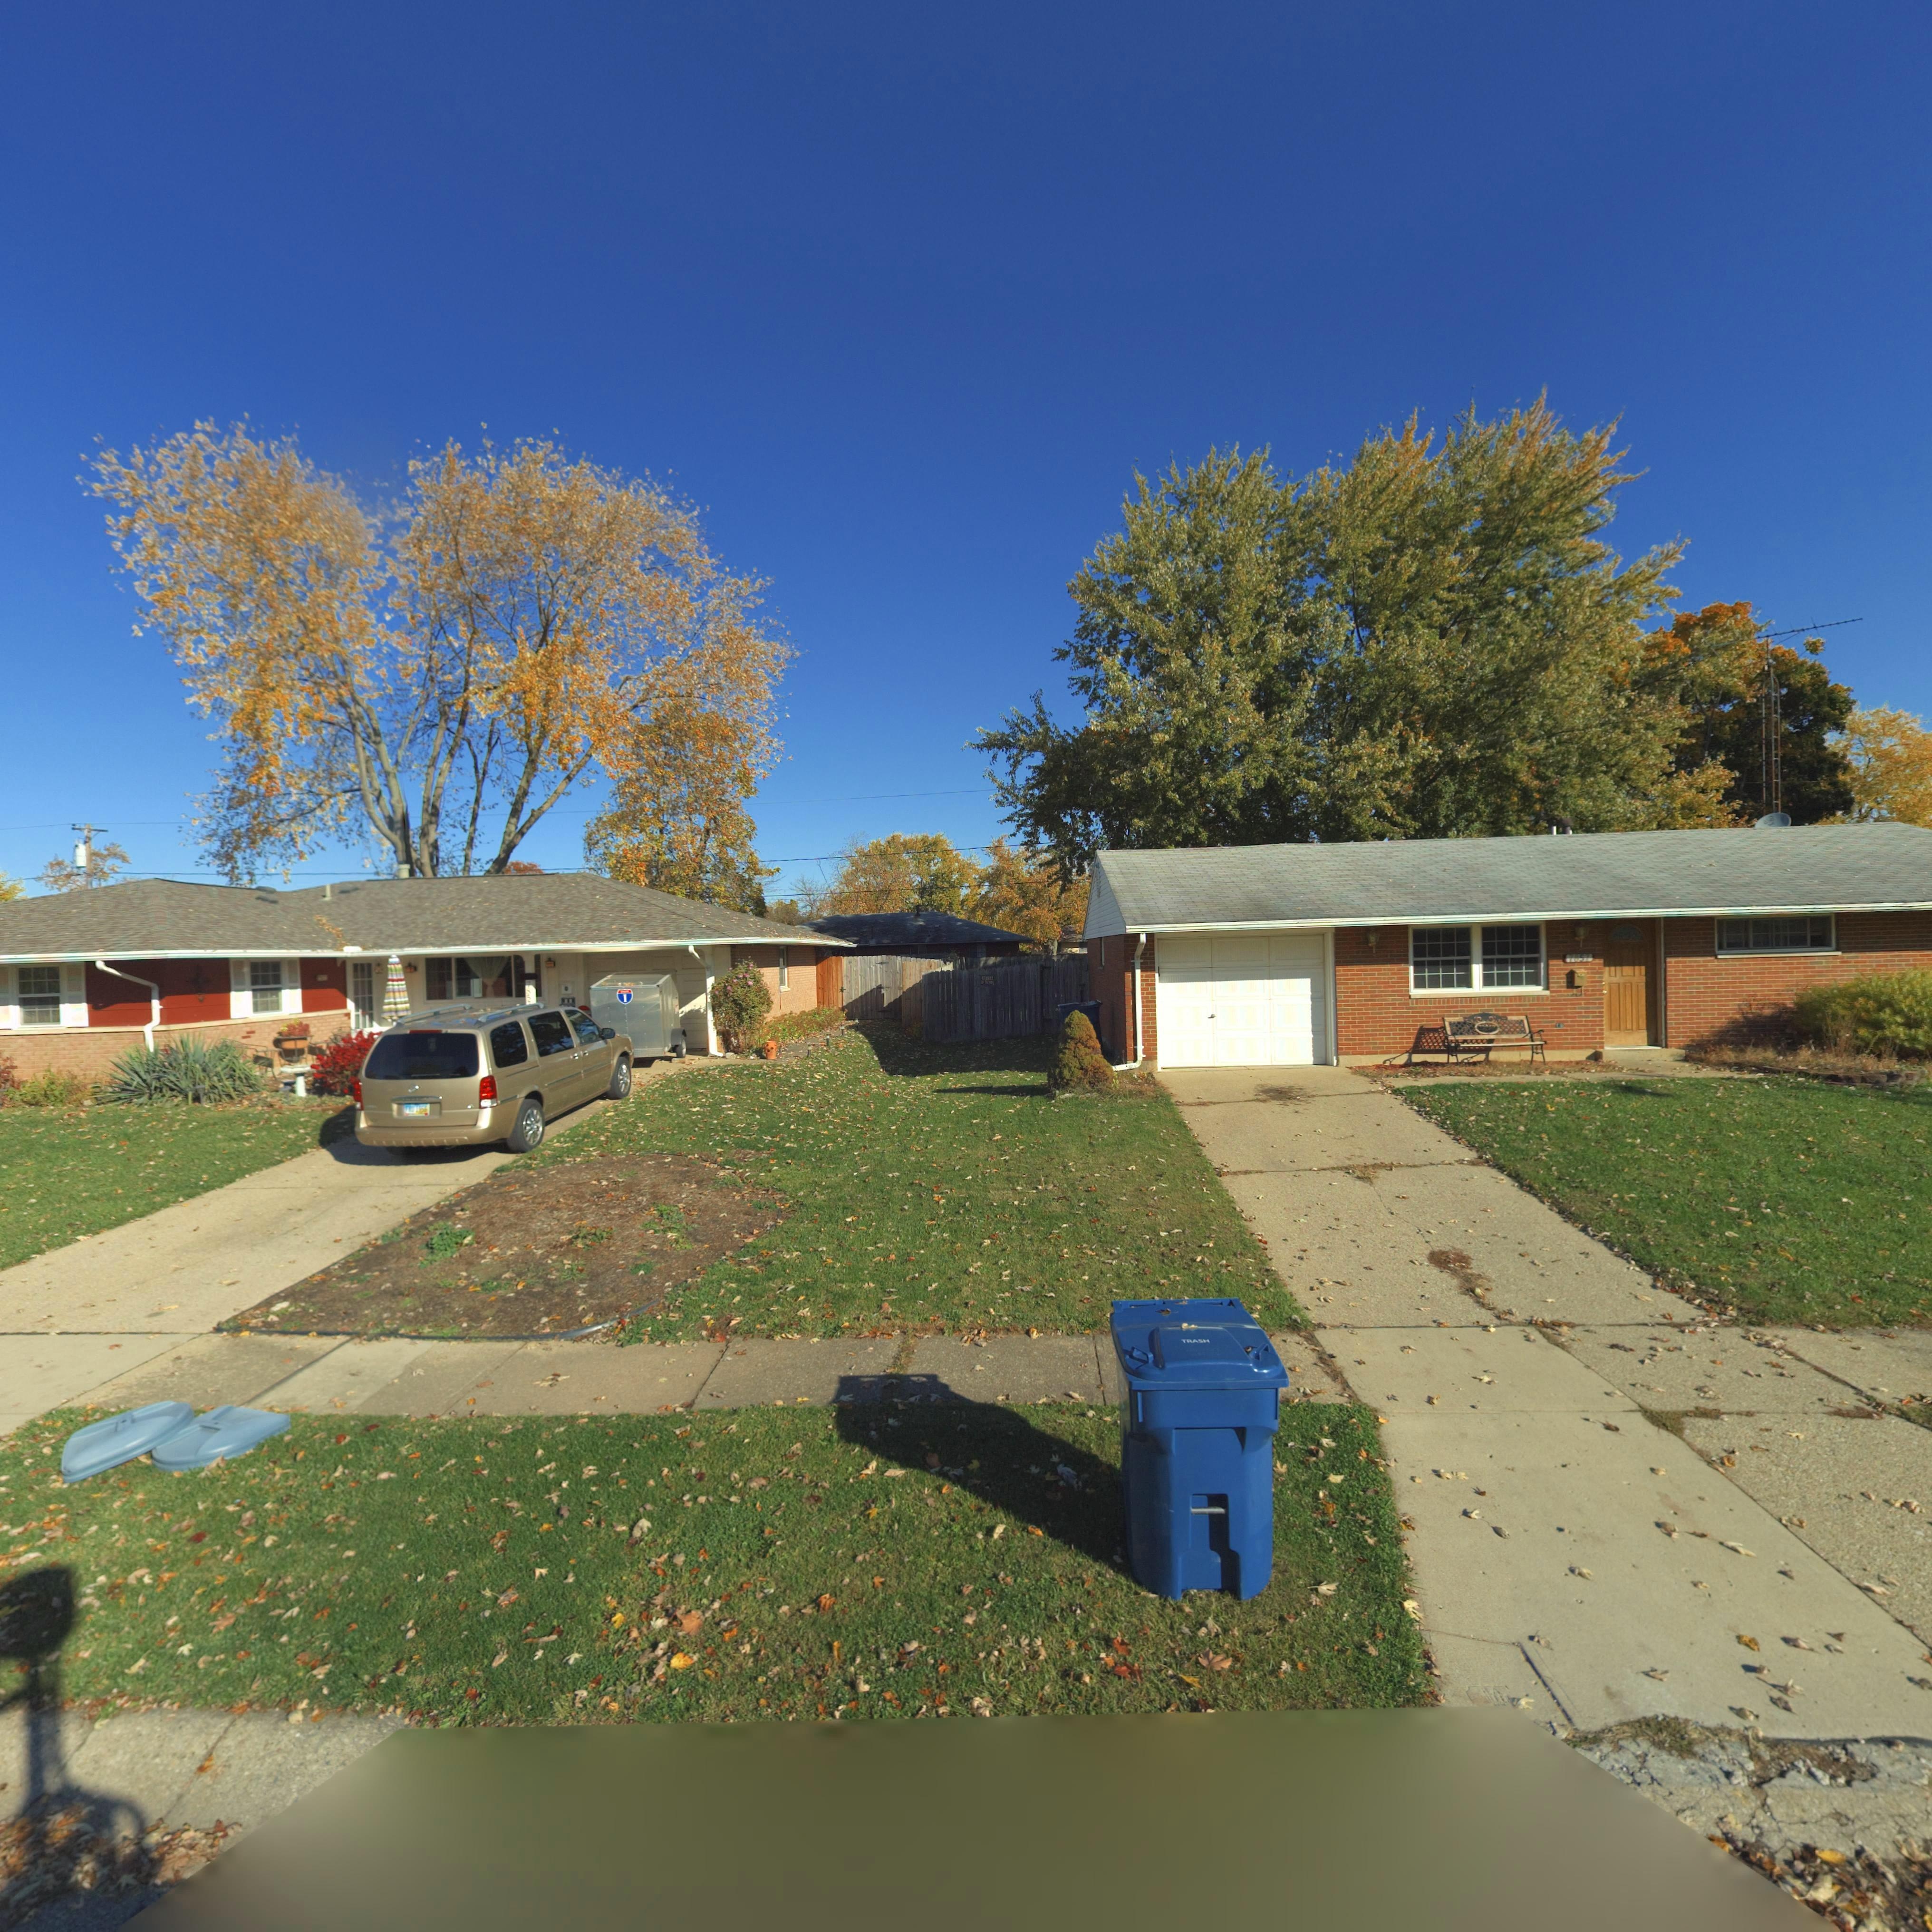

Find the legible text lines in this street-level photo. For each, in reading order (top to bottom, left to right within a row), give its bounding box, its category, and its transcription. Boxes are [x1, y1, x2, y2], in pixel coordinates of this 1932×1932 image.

[1568, 953, 1591, 963] StreetNumber: 7857
[526, 981, 531, 1006] StreetNumber: 7**